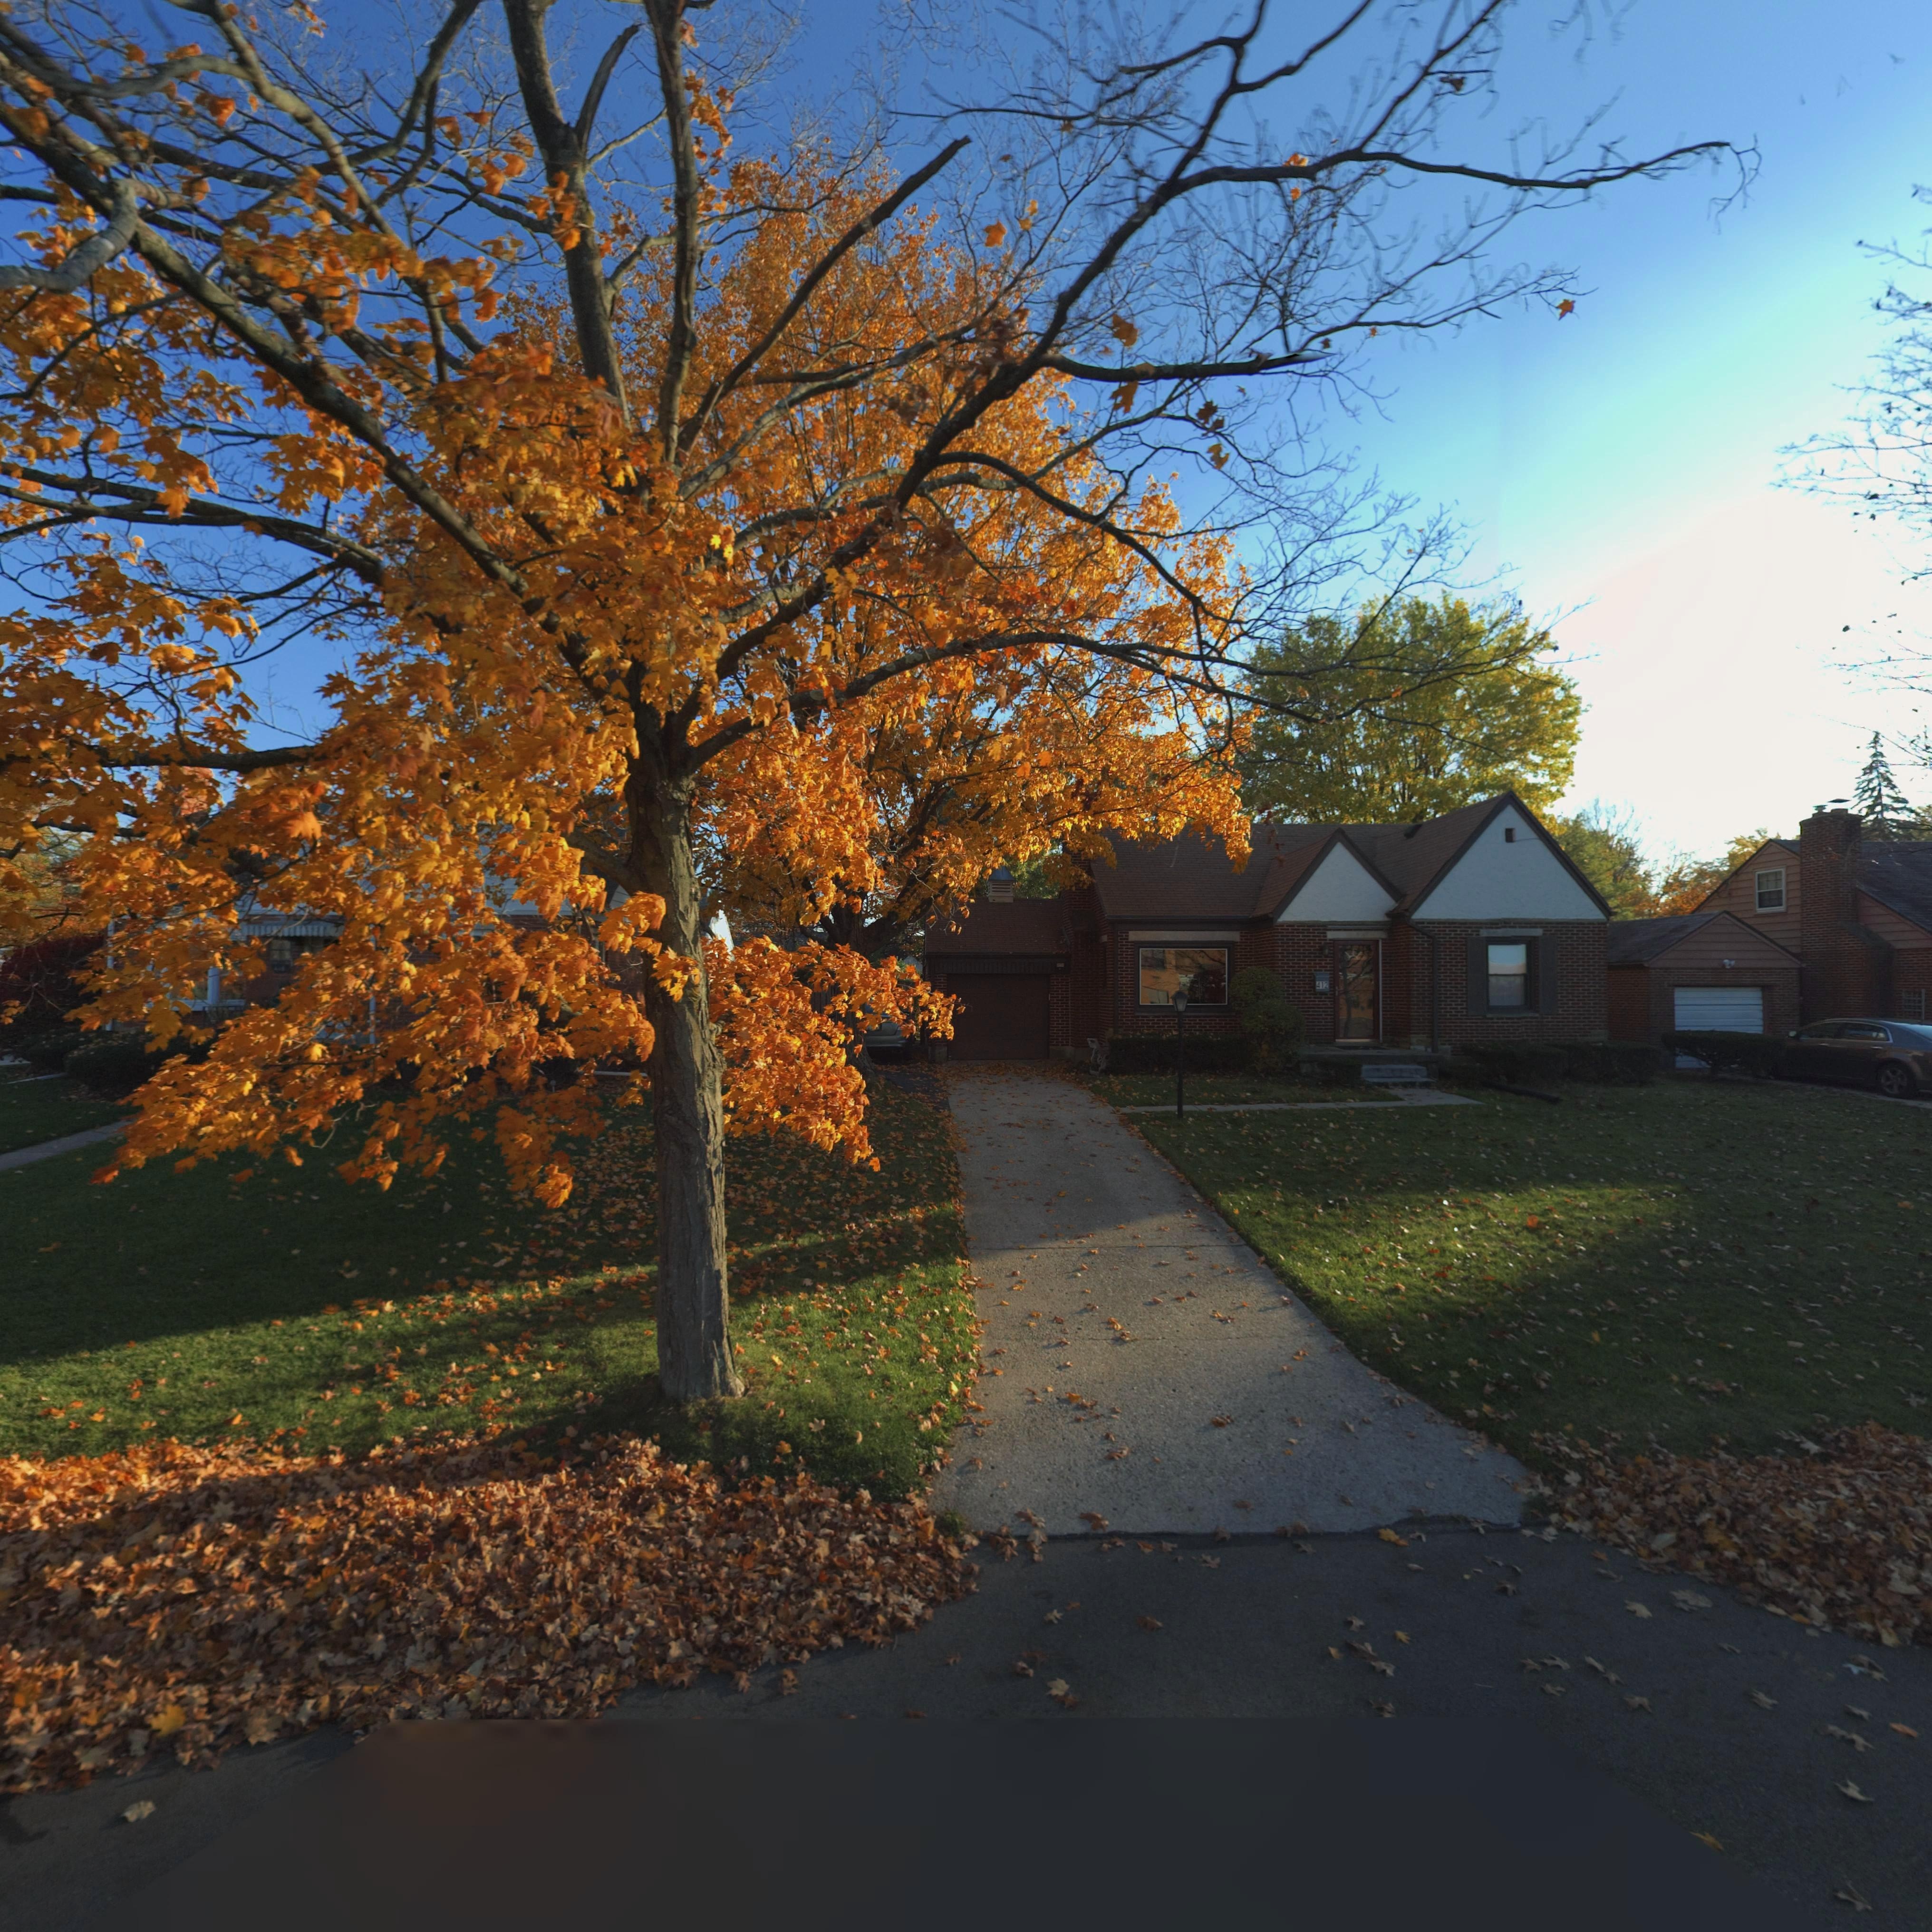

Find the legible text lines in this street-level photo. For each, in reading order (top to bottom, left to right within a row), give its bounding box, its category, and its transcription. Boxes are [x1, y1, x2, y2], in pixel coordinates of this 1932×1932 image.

[1316, 981, 1328, 989] StreetNumber: 412